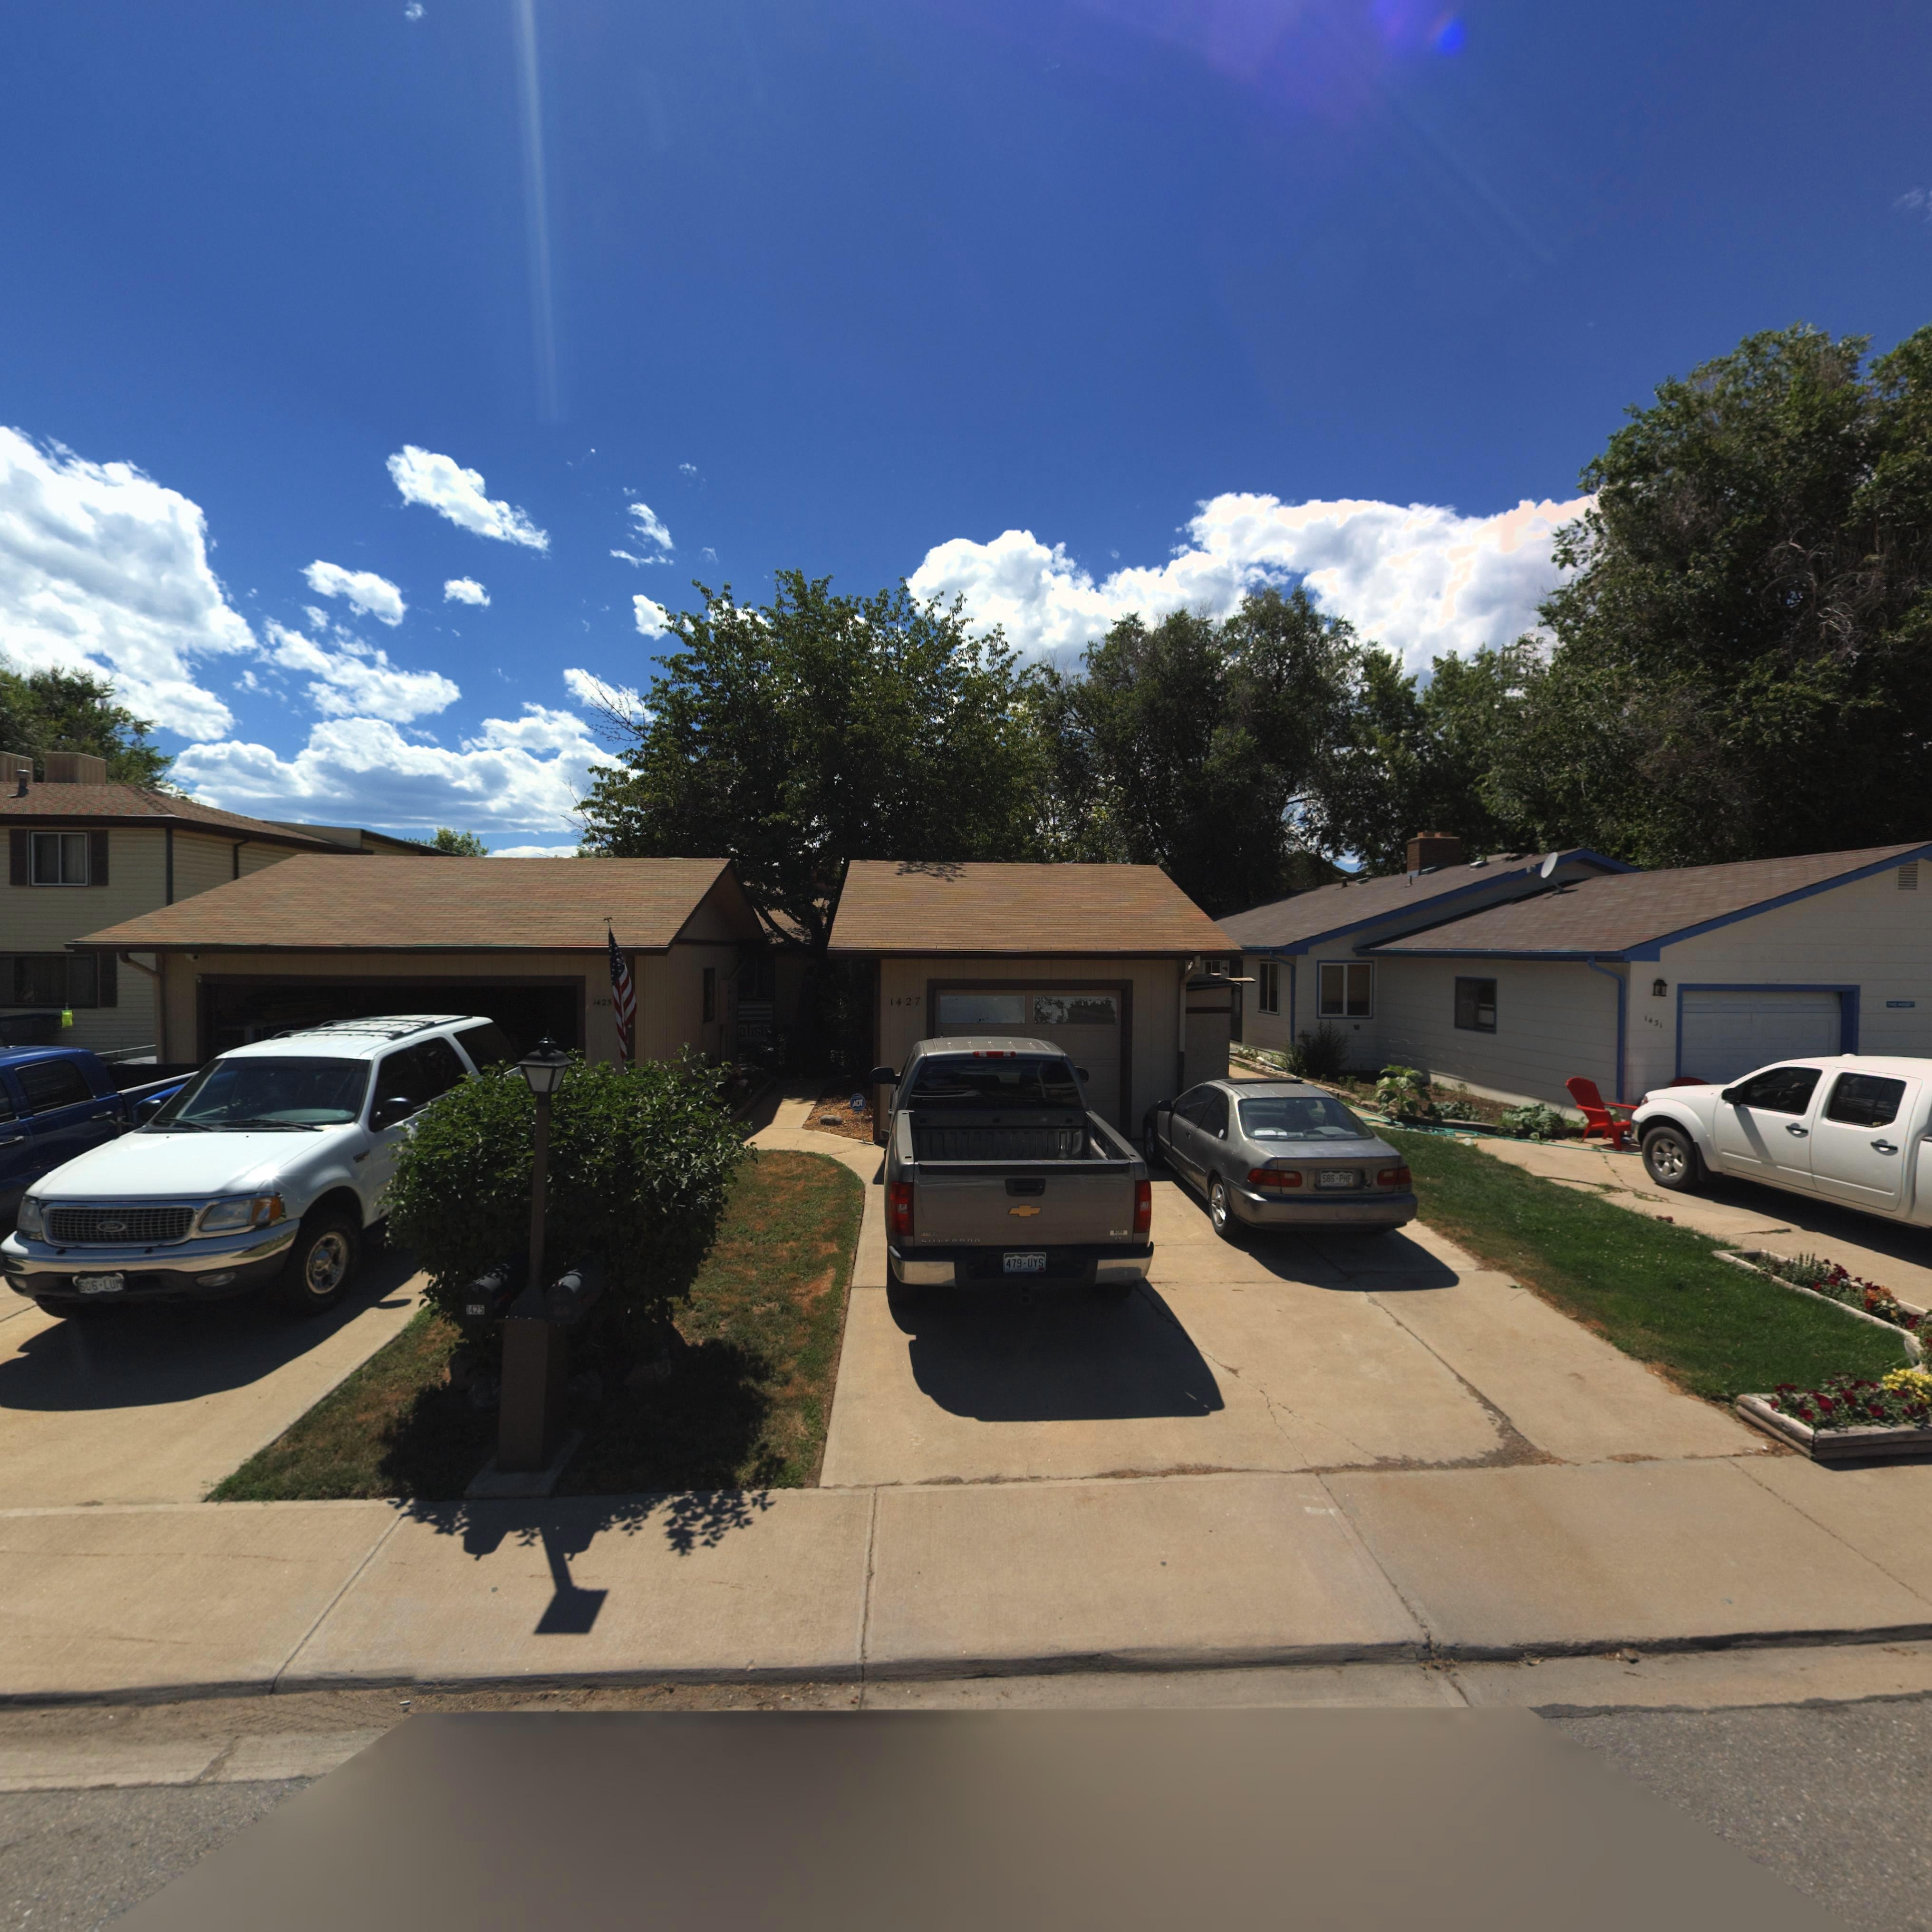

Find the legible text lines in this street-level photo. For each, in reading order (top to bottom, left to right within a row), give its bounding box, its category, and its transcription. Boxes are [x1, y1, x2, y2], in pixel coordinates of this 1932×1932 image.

[592, 998, 612, 1006] StreetNumber: 1425
[890, 996, 921, 1006] StreetNumber: 1427
[1644, 1014, 1662, 1029] StreetNumber: 1431
[466, 1305, 483, 1314] StreetNumber: 1425